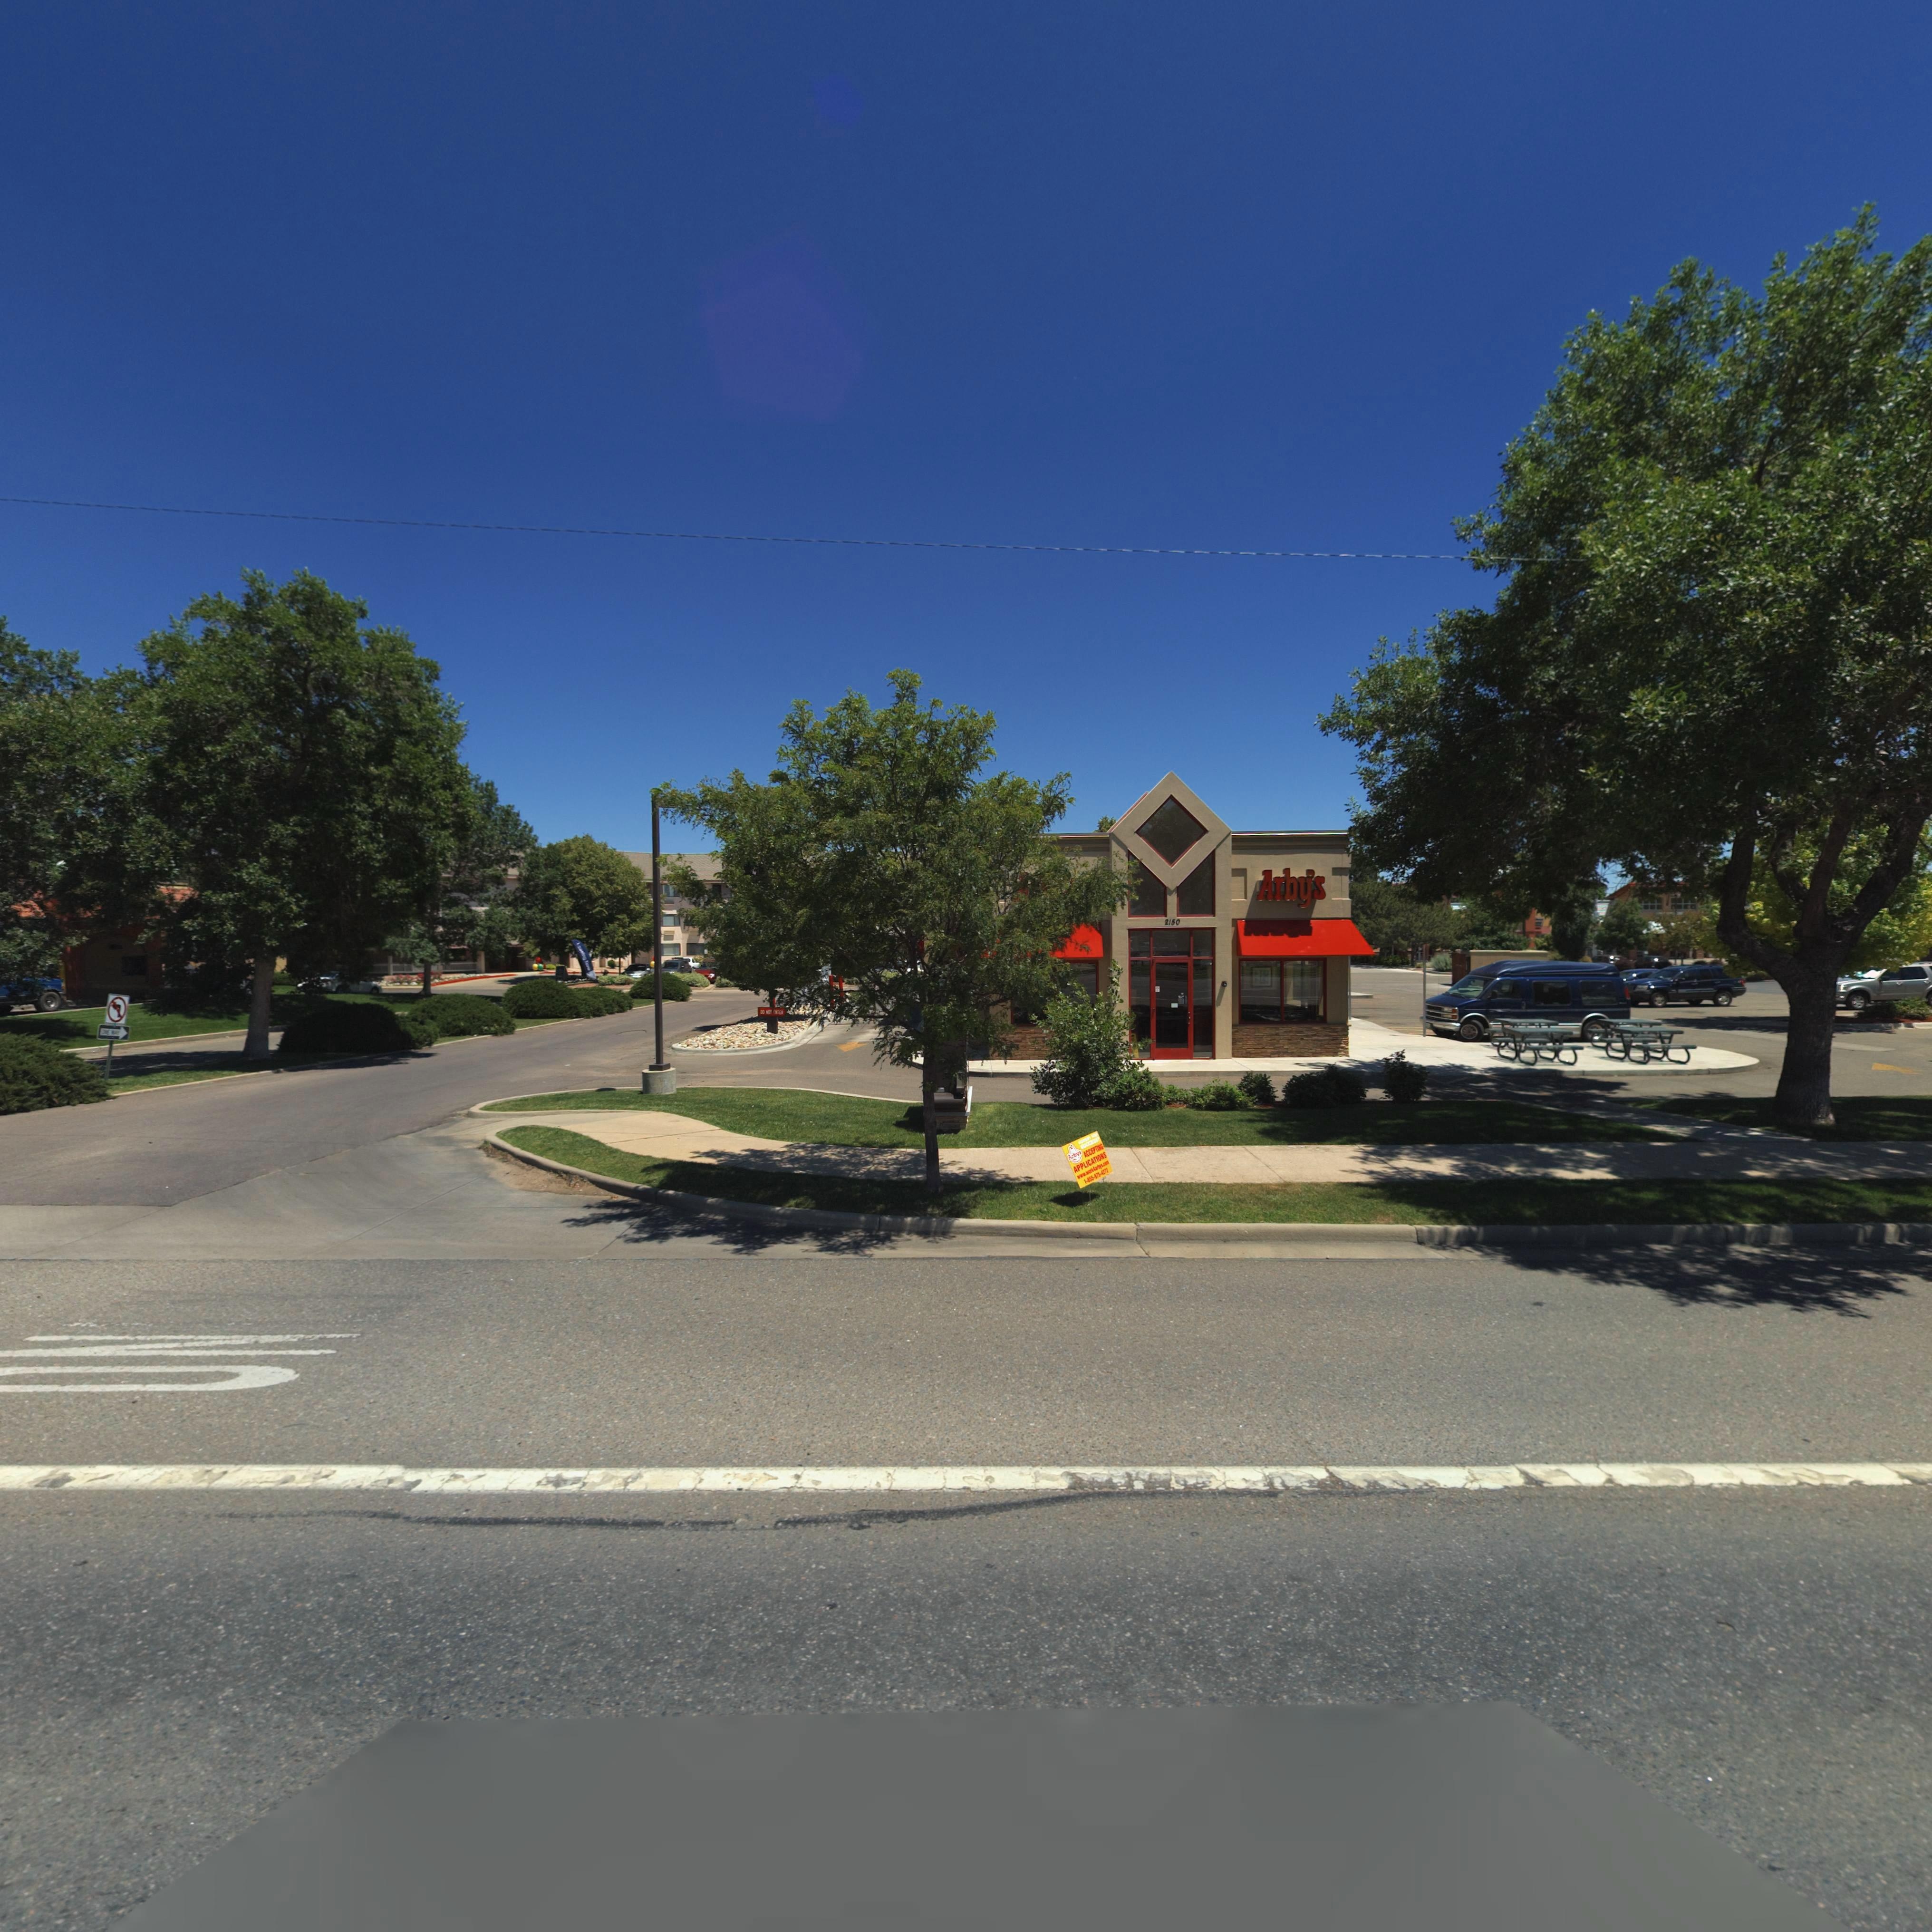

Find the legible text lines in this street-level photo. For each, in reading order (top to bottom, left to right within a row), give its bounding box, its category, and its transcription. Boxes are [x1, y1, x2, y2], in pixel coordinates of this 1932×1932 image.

[1256, 866, 1326, 908] BusinessName: Arby's
[1164, 918, 1180, 925] StreetNumber: 2150
[1068, 1150, 1082, 1160] BusinessName: Arby's